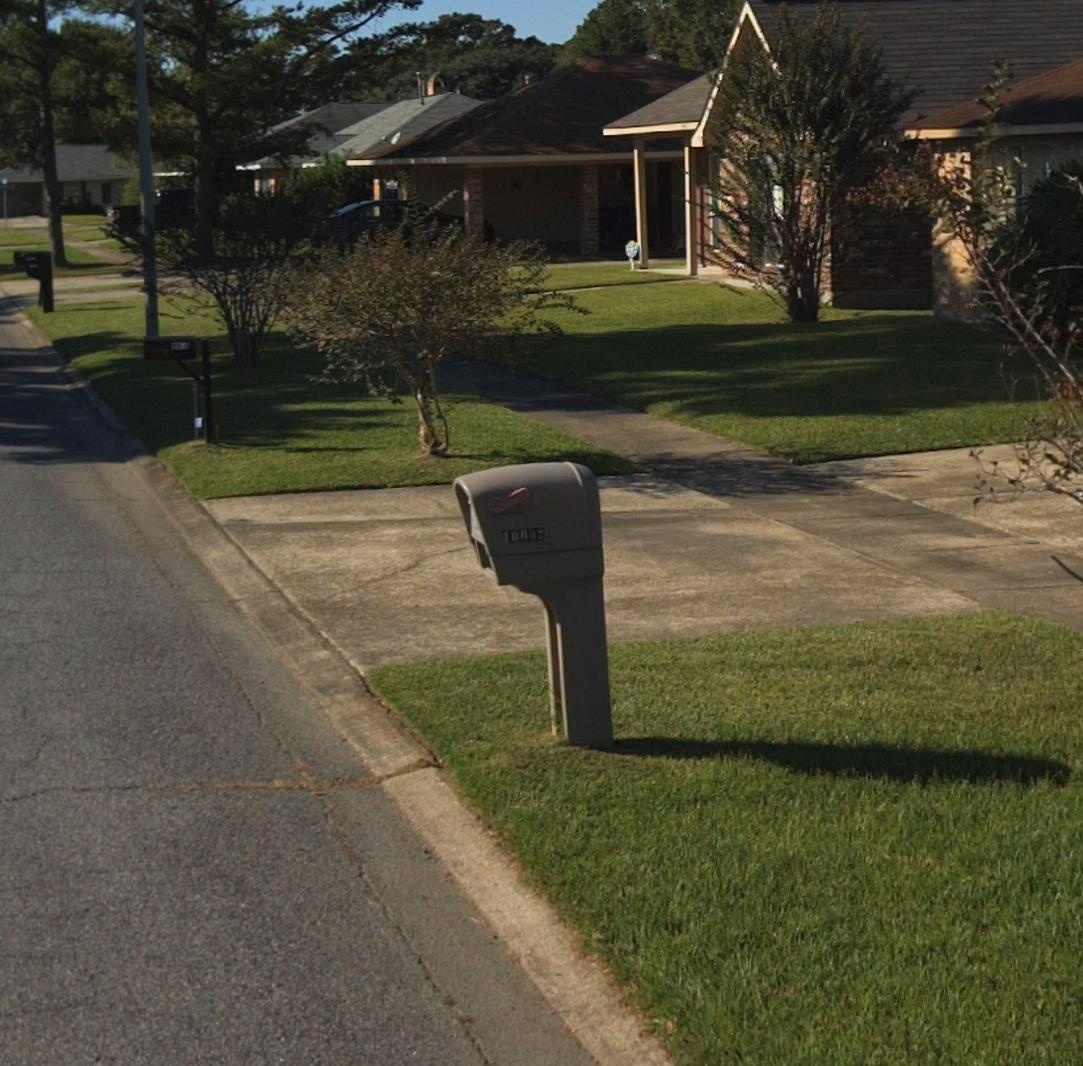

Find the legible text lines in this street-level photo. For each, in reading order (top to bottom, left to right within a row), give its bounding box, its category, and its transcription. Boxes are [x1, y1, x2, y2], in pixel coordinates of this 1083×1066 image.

[503, 528, 545, 543] StreetNumber: 10002